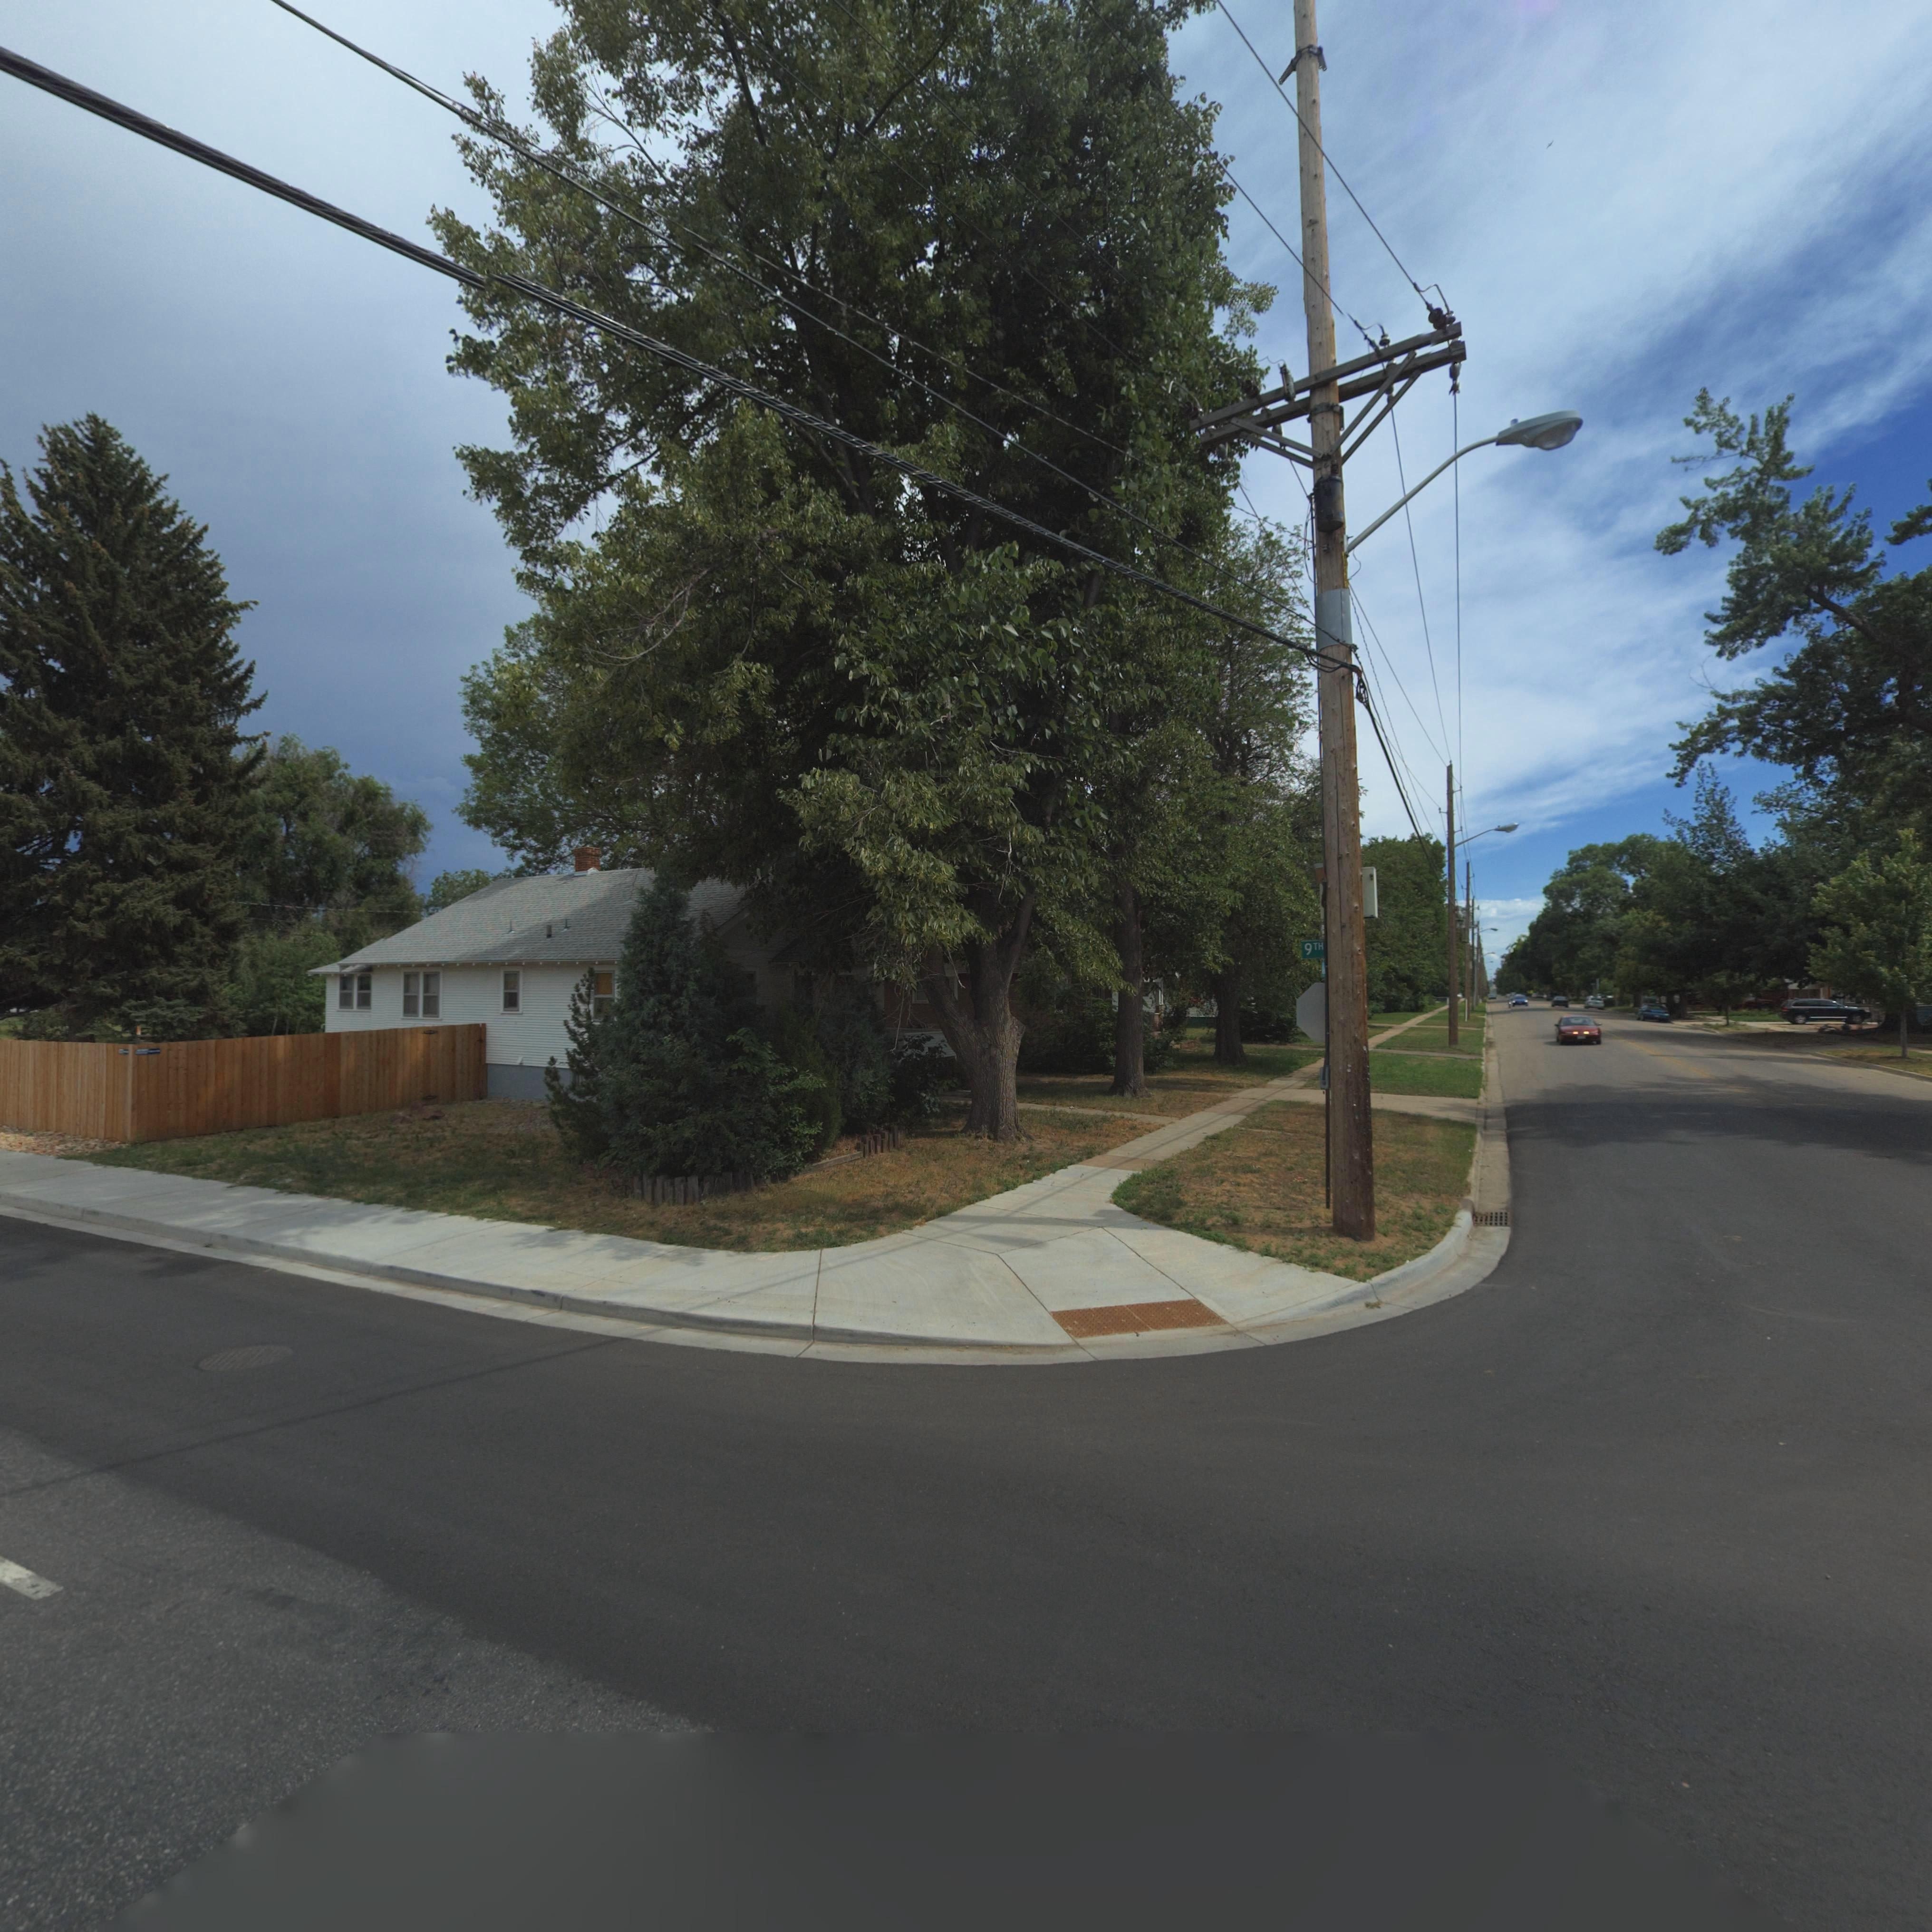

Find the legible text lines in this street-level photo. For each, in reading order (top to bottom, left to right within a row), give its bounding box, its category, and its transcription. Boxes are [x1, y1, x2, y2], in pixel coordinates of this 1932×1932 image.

[1304, 942, 1324, 955] StreetNumber: 9th